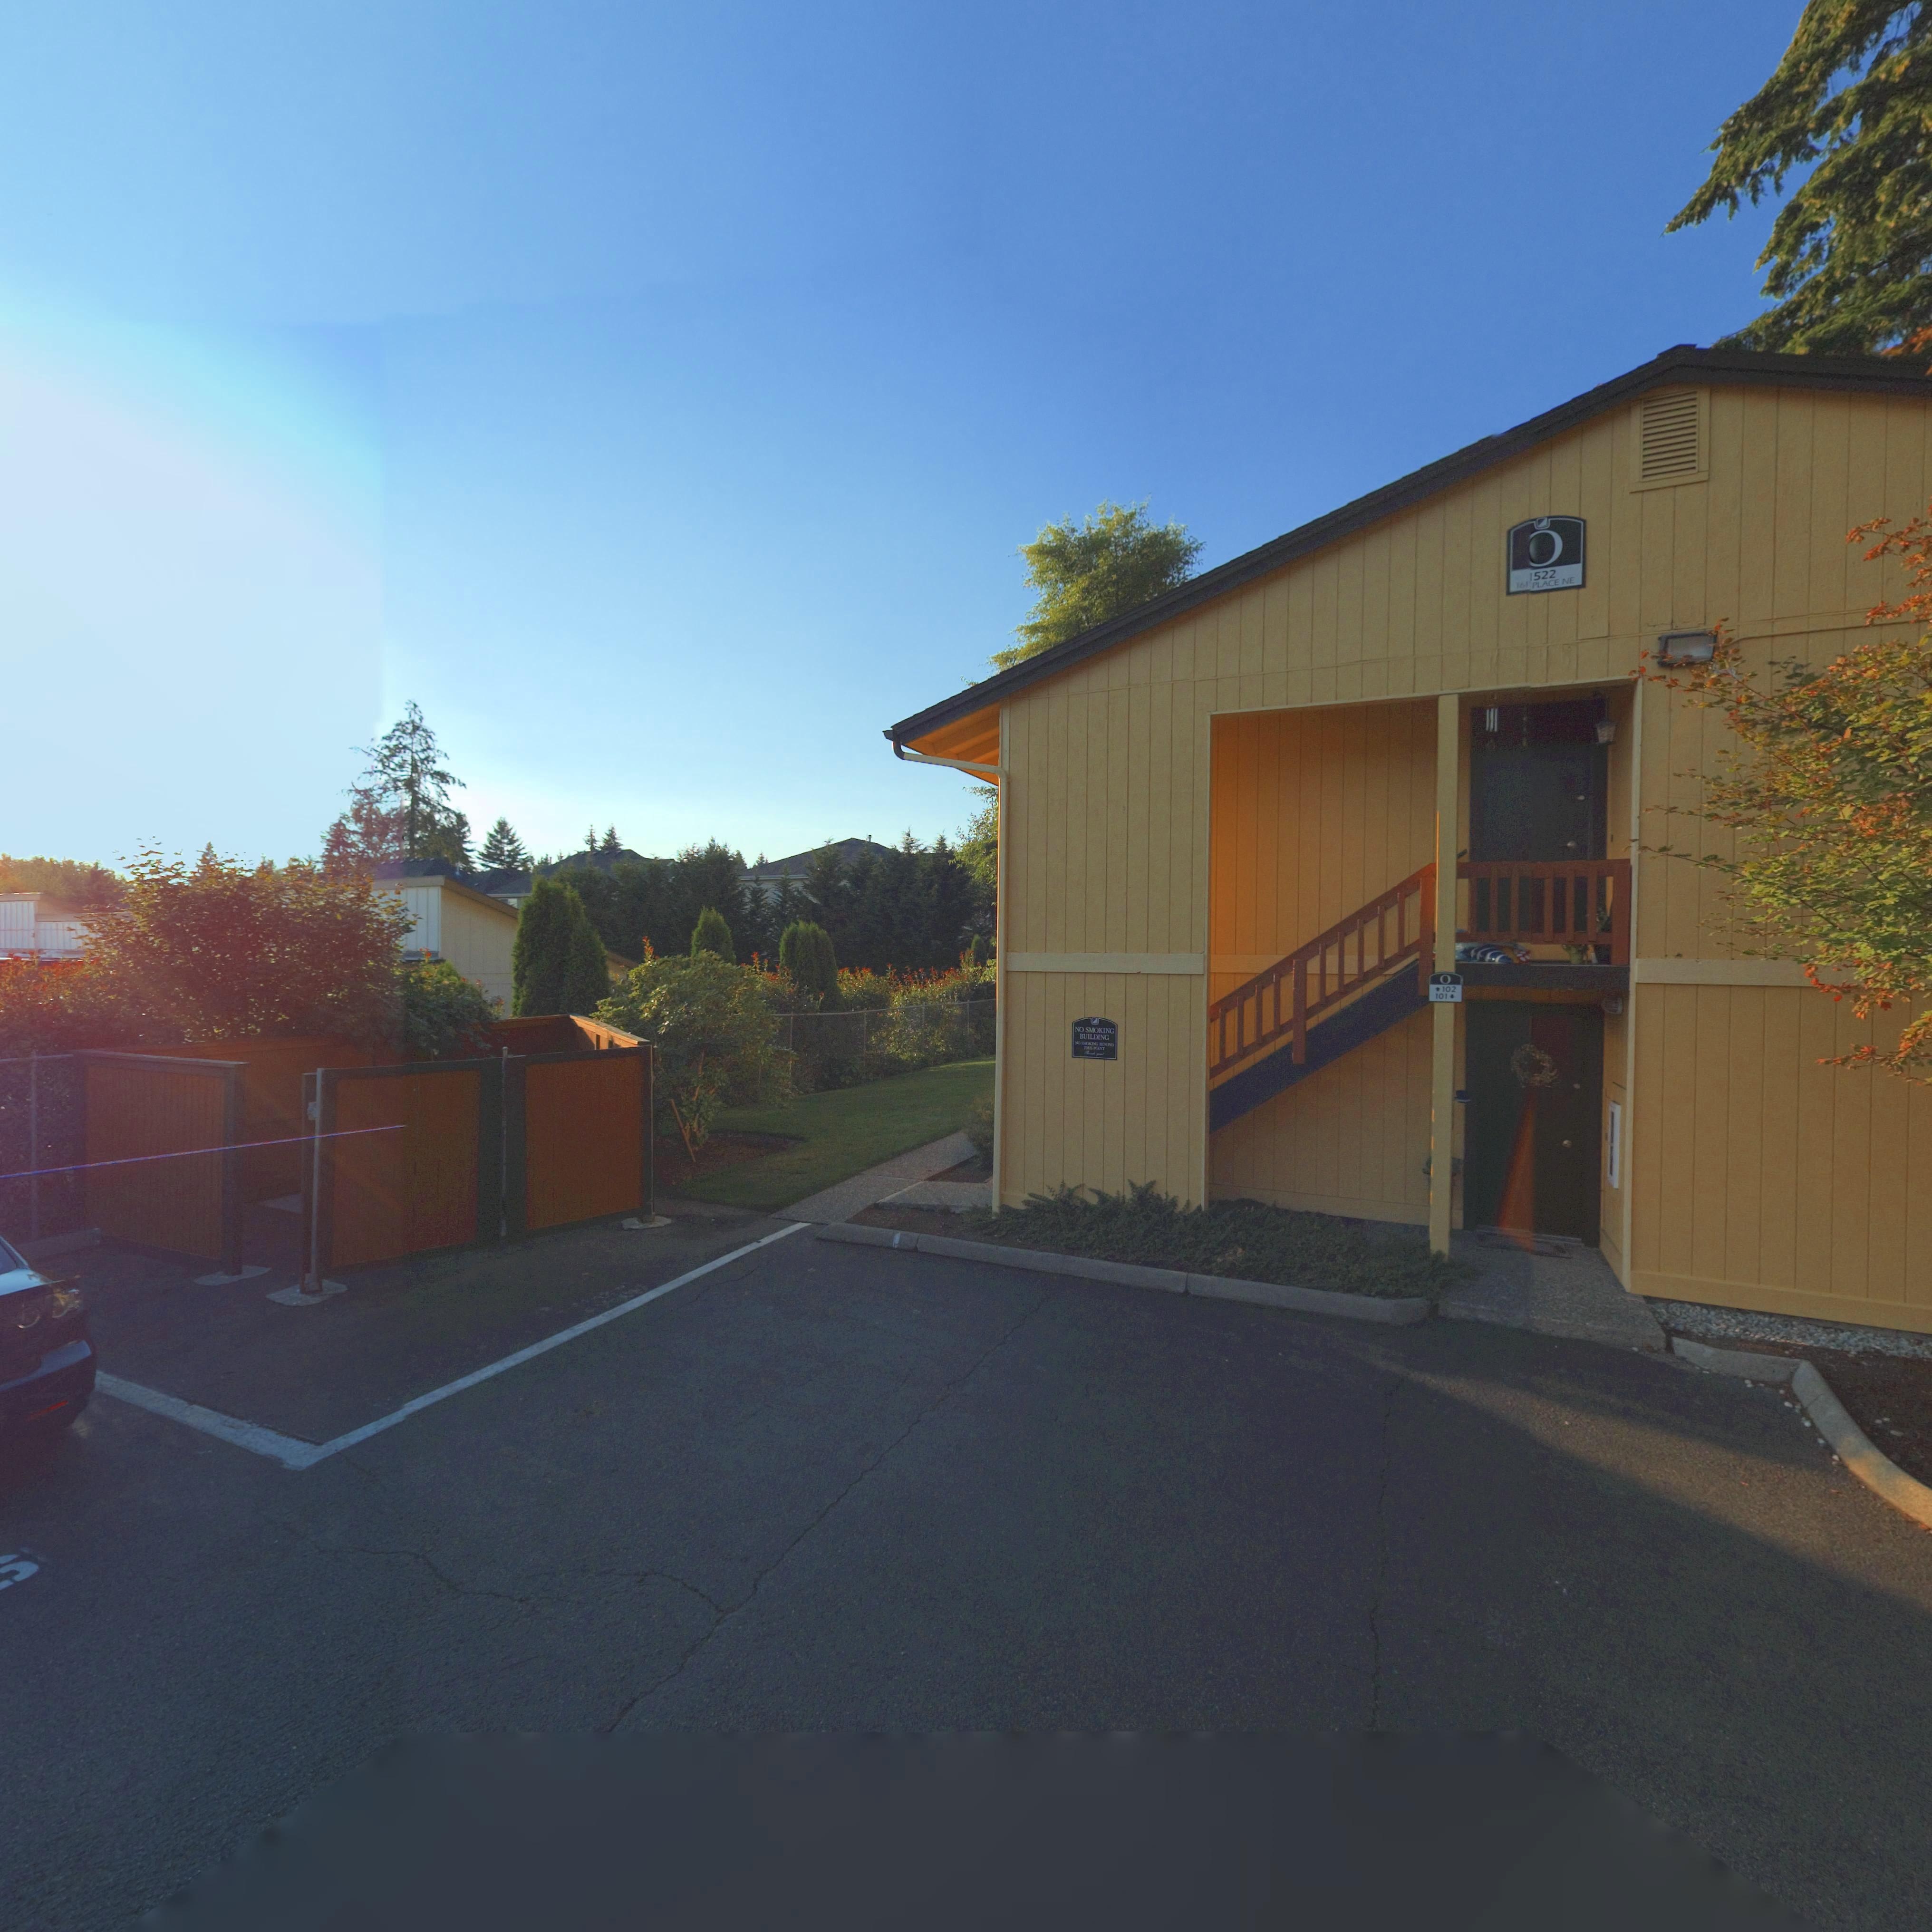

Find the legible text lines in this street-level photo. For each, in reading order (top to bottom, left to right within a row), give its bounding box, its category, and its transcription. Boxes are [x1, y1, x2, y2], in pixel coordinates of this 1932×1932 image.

[1528, 567, 1558, 581] StreetNumber: 1522
[1532, 575, 1575, 589] StreetName: PLACE NE